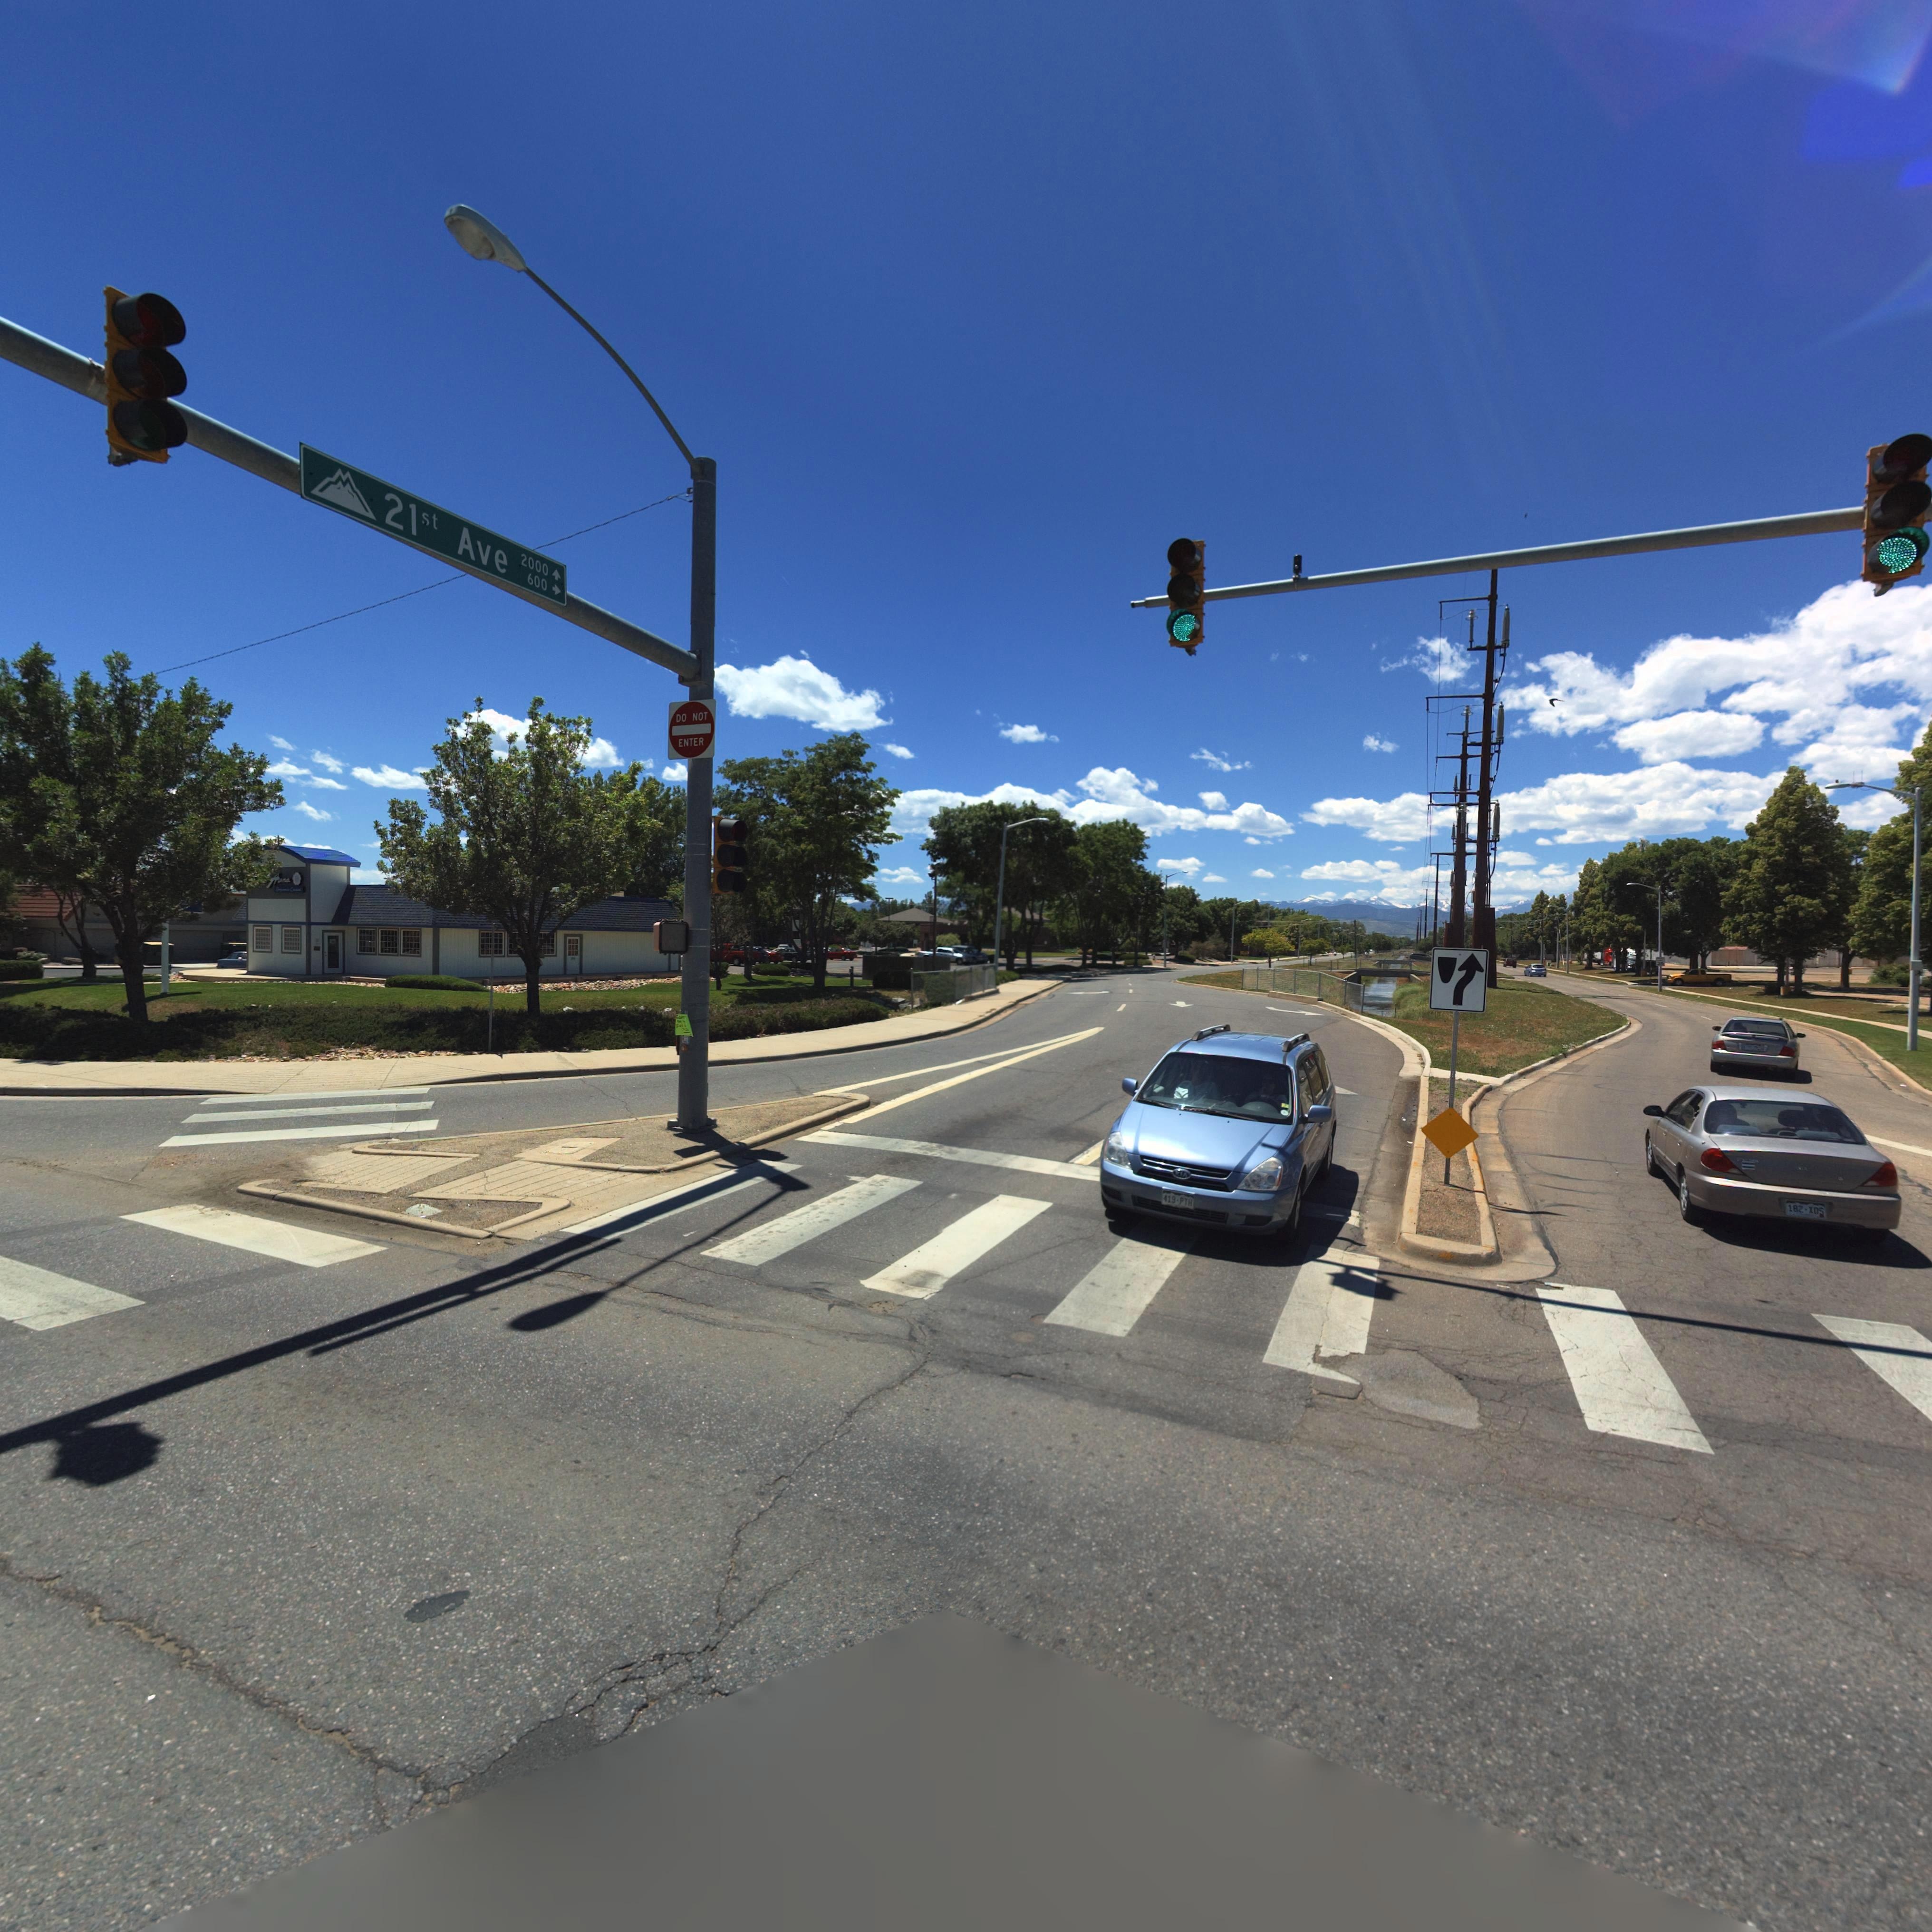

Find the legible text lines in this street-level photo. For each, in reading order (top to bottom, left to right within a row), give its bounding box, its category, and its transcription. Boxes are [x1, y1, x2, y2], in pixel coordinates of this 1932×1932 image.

[384, 492, 507, 574] StreetName: 21st Ave
[521, 552, 548, 576] StreetNumberRange: 2000
[527, 572, 561, 595] StreetNumberRange: 600->
[265, 872, 291, 889] BusinessName: *ana